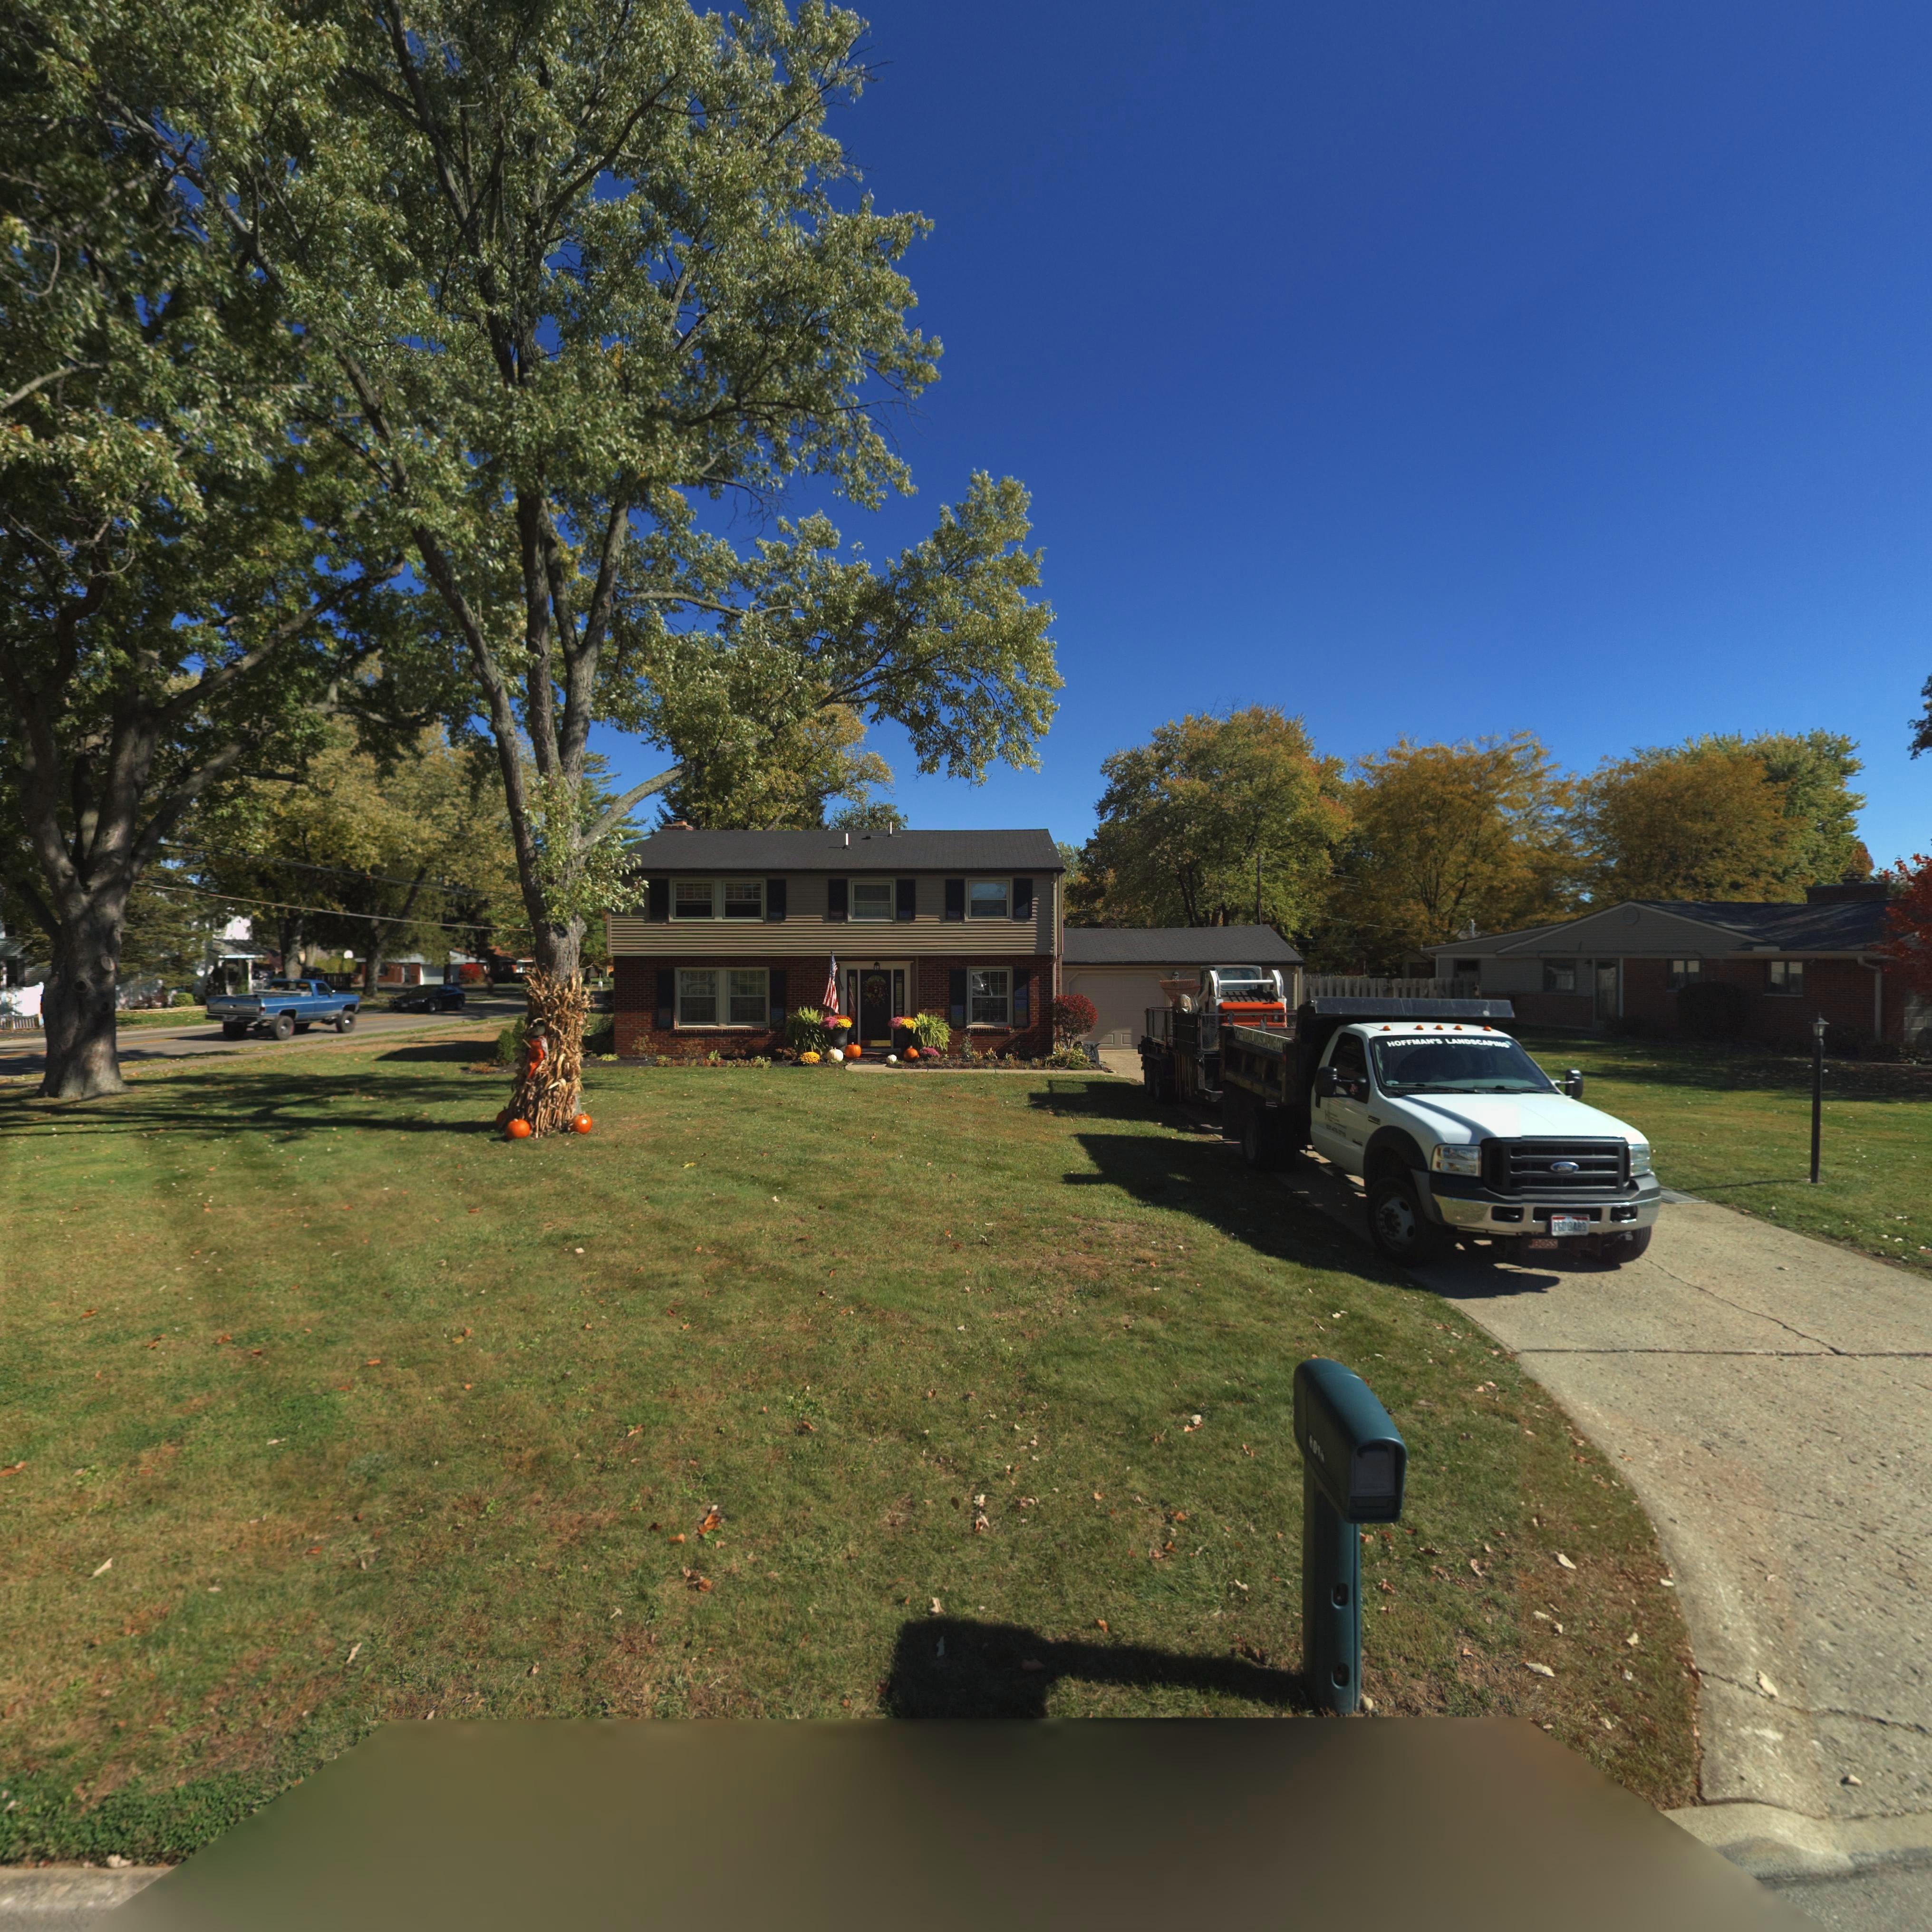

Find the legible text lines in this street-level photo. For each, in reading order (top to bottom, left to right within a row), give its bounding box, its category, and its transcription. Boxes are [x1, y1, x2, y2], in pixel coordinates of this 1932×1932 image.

[1309, 1431, 1326, 1465] StreetNumber: 6074